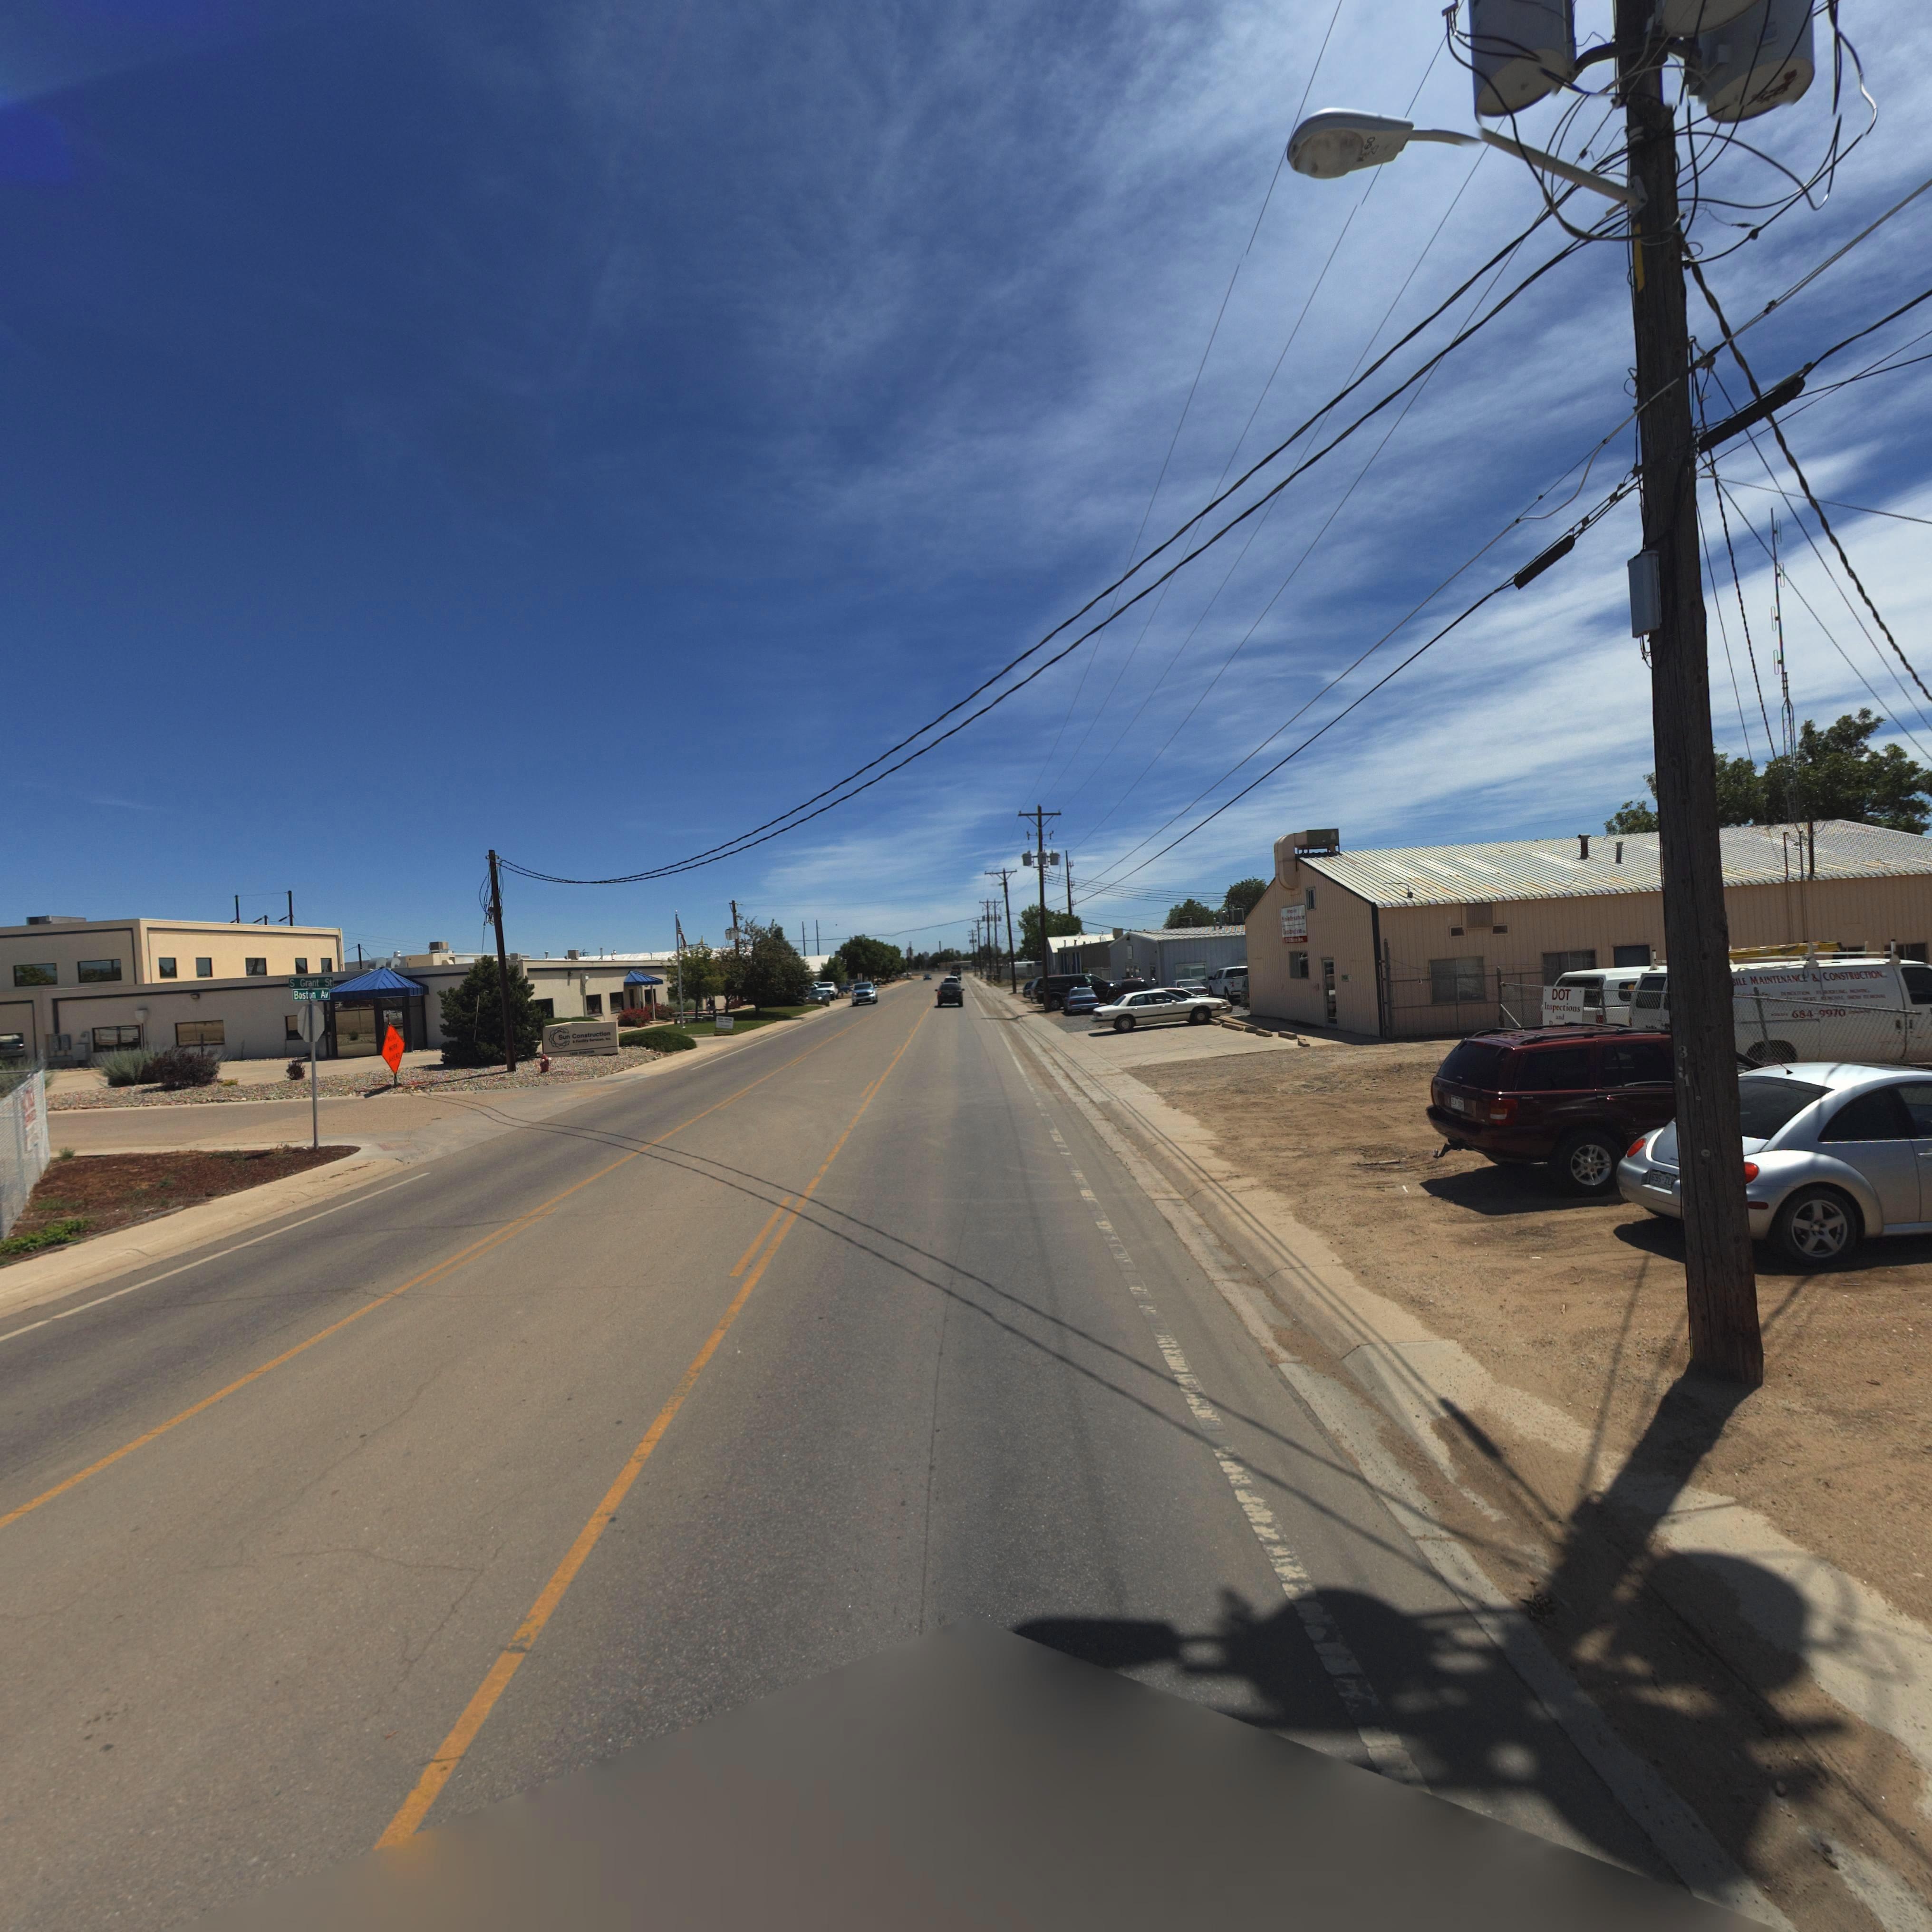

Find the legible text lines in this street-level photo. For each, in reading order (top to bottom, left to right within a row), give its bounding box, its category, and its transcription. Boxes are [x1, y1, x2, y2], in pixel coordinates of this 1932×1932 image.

[1281, 914, 1305, 922] BusinessName: Maintenance
[1282, 927, 1302, 934] BusinessName: C*nstr*stion
[558, 1031, 611, 1040] BusinessName: Sun Construction
[572, 1037, 612, 1043] BusinessName: & F****y Serv*ces Inc
[569, 1052, 578, 1055] StreetNumber: 12**